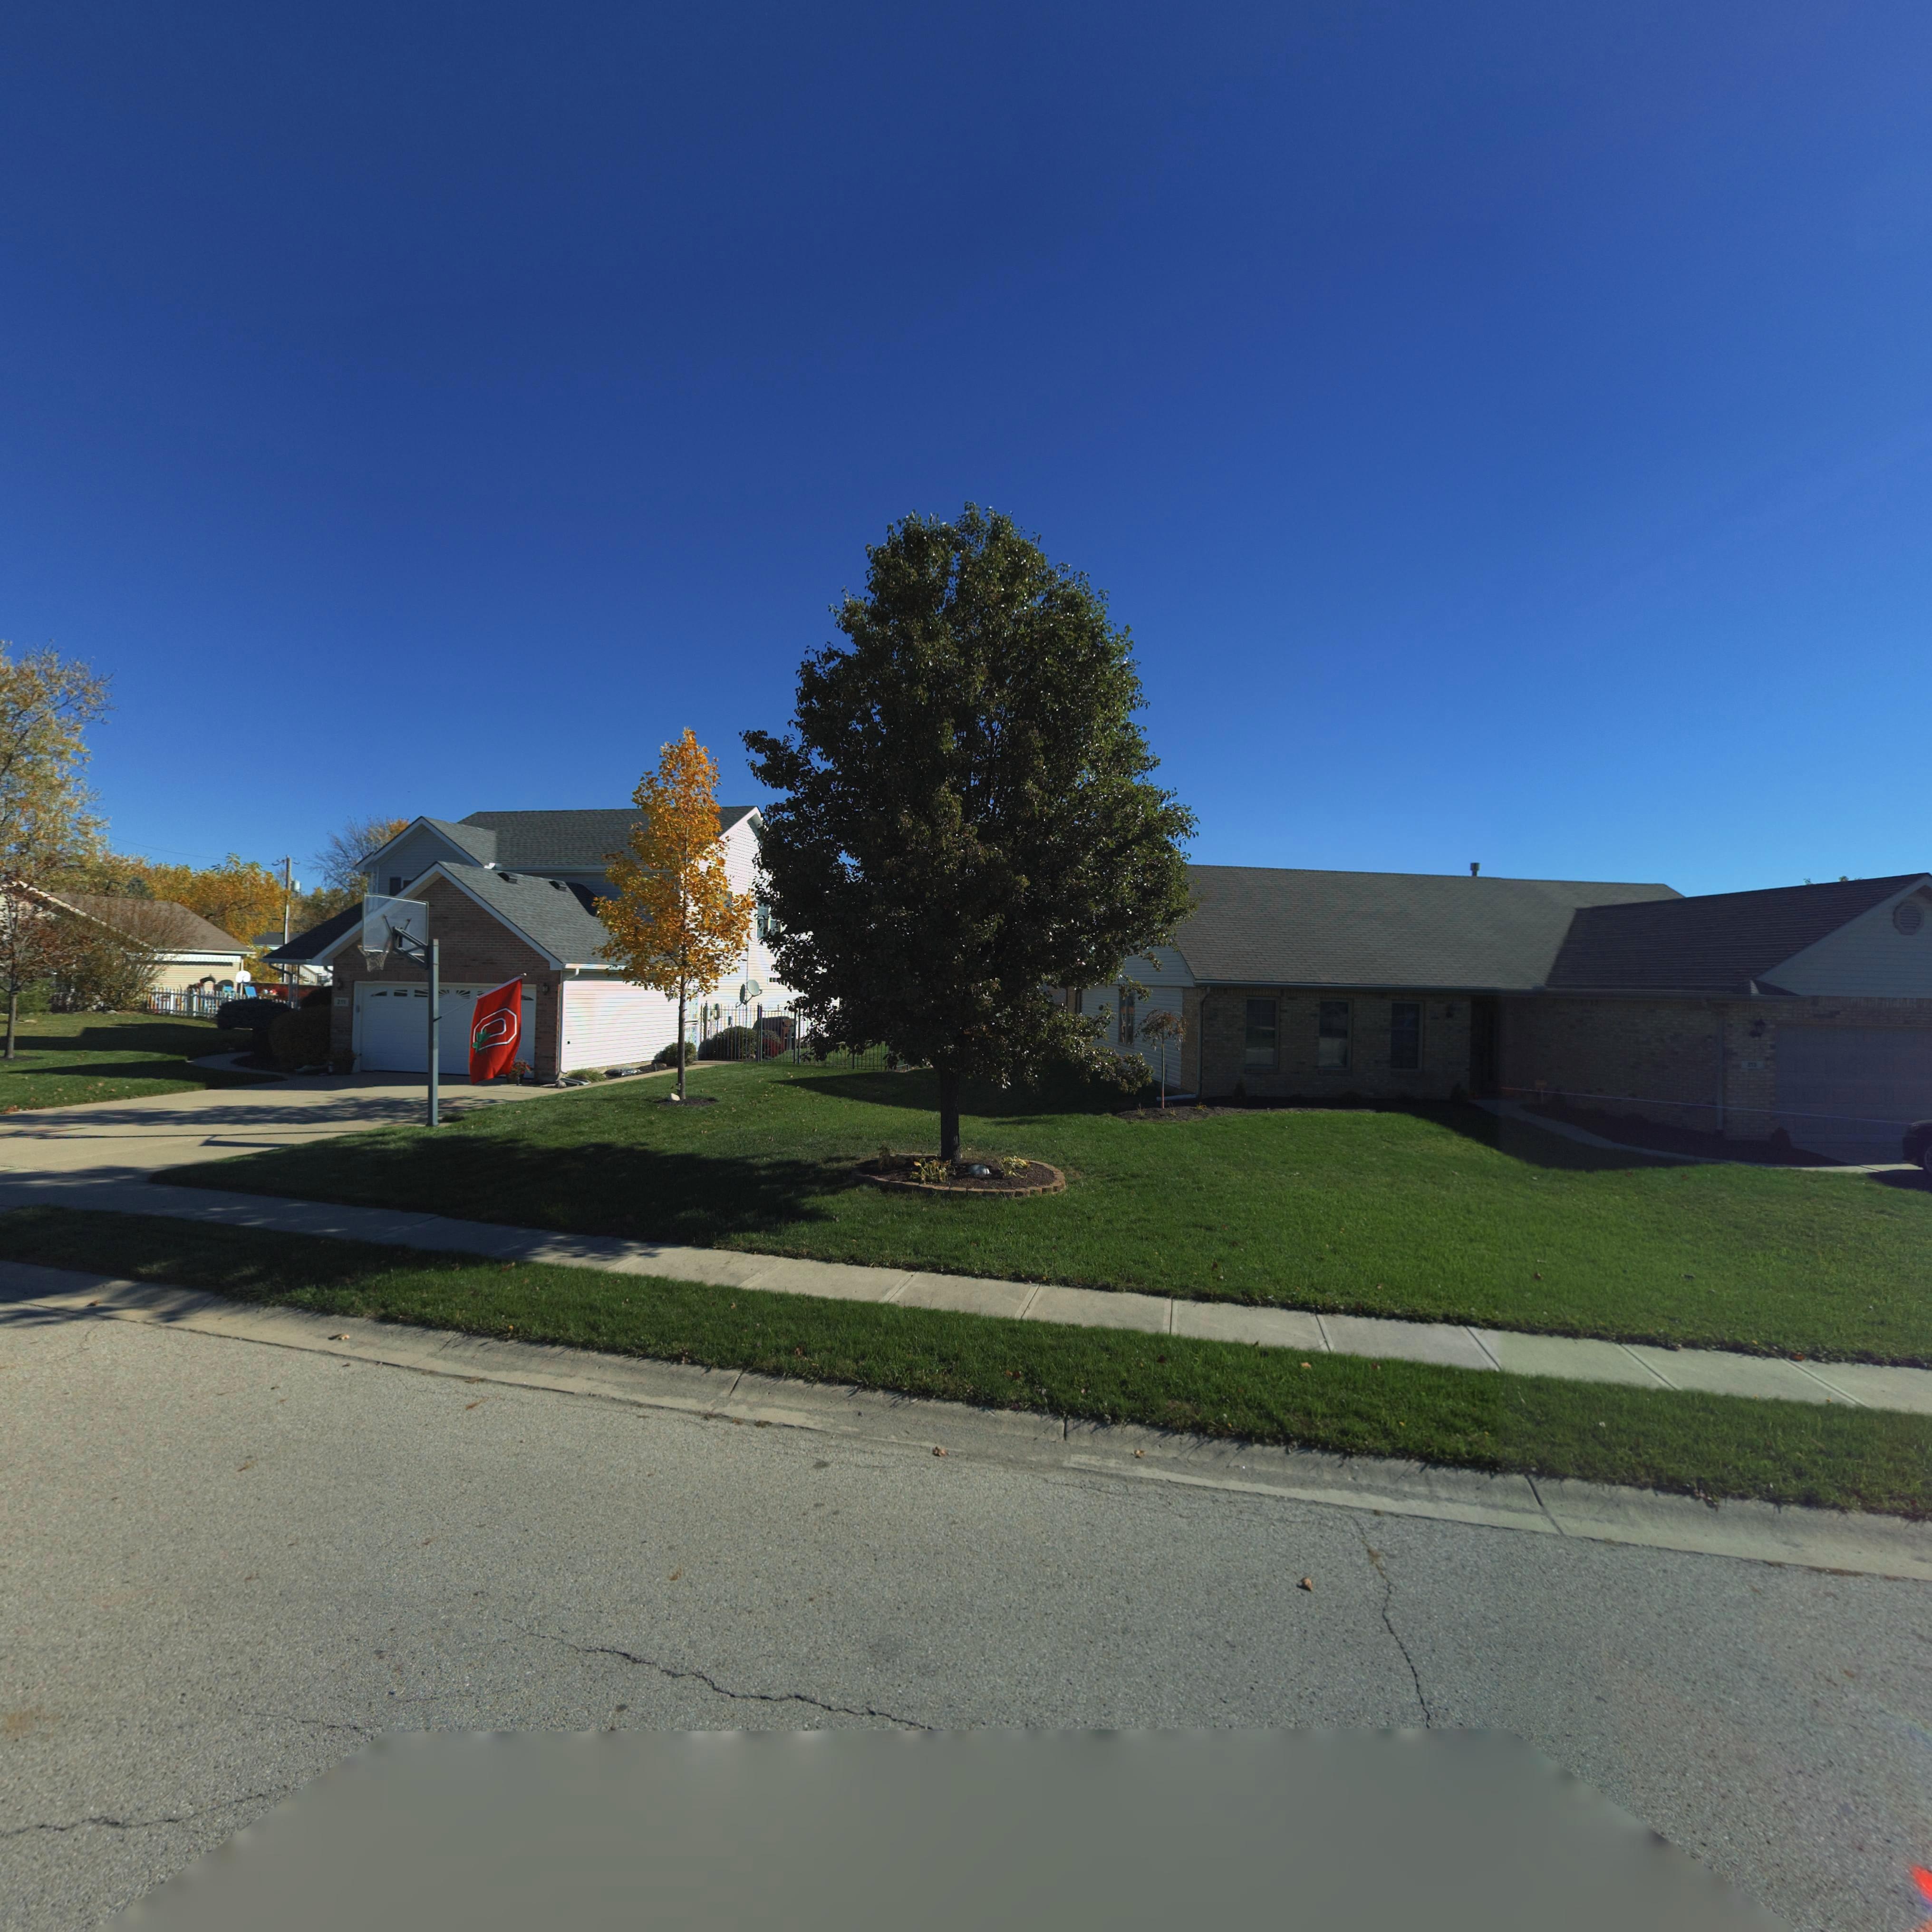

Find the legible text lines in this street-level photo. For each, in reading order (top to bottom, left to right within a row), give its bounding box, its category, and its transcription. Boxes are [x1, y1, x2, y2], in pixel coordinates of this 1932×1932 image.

[337, 999, 347, 1005] StreetNumber: 211
[1747, 1062, 1758, 1068] StreetNumber: 213